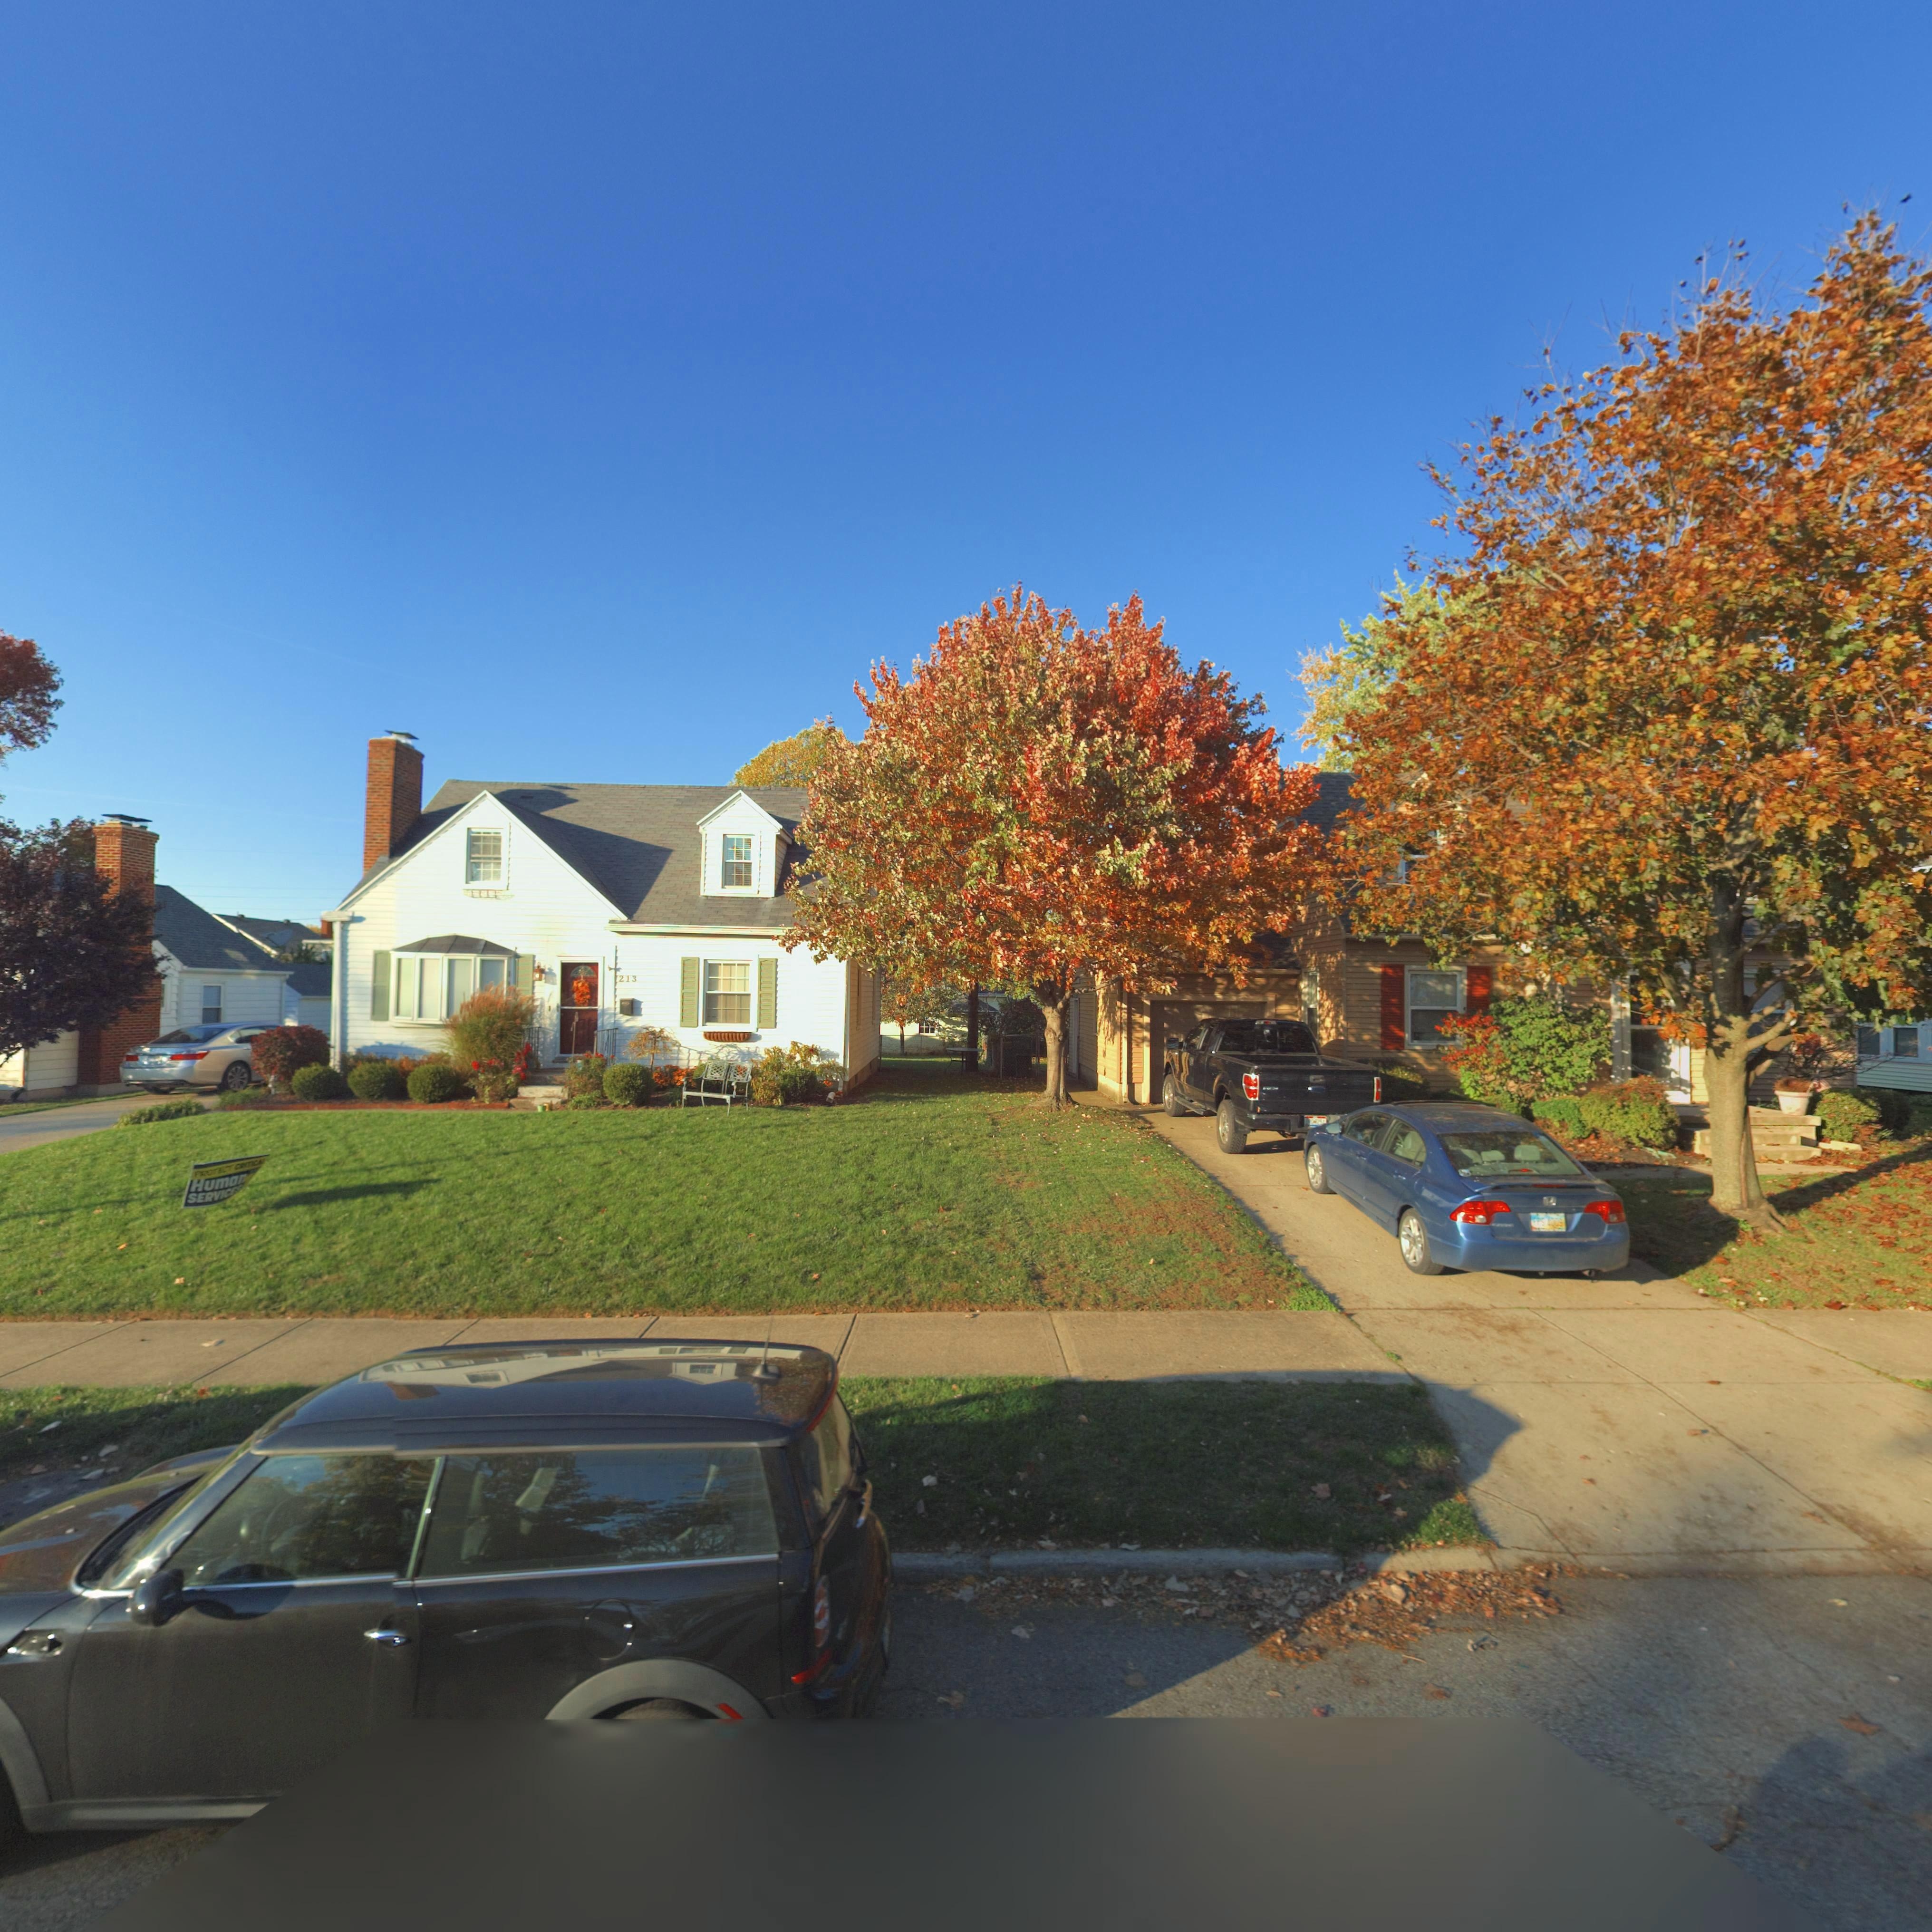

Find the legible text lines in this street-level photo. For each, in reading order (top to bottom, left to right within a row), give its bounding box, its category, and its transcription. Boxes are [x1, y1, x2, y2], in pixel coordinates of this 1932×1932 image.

[618, 975, 637, 982] StreetNumber: 213